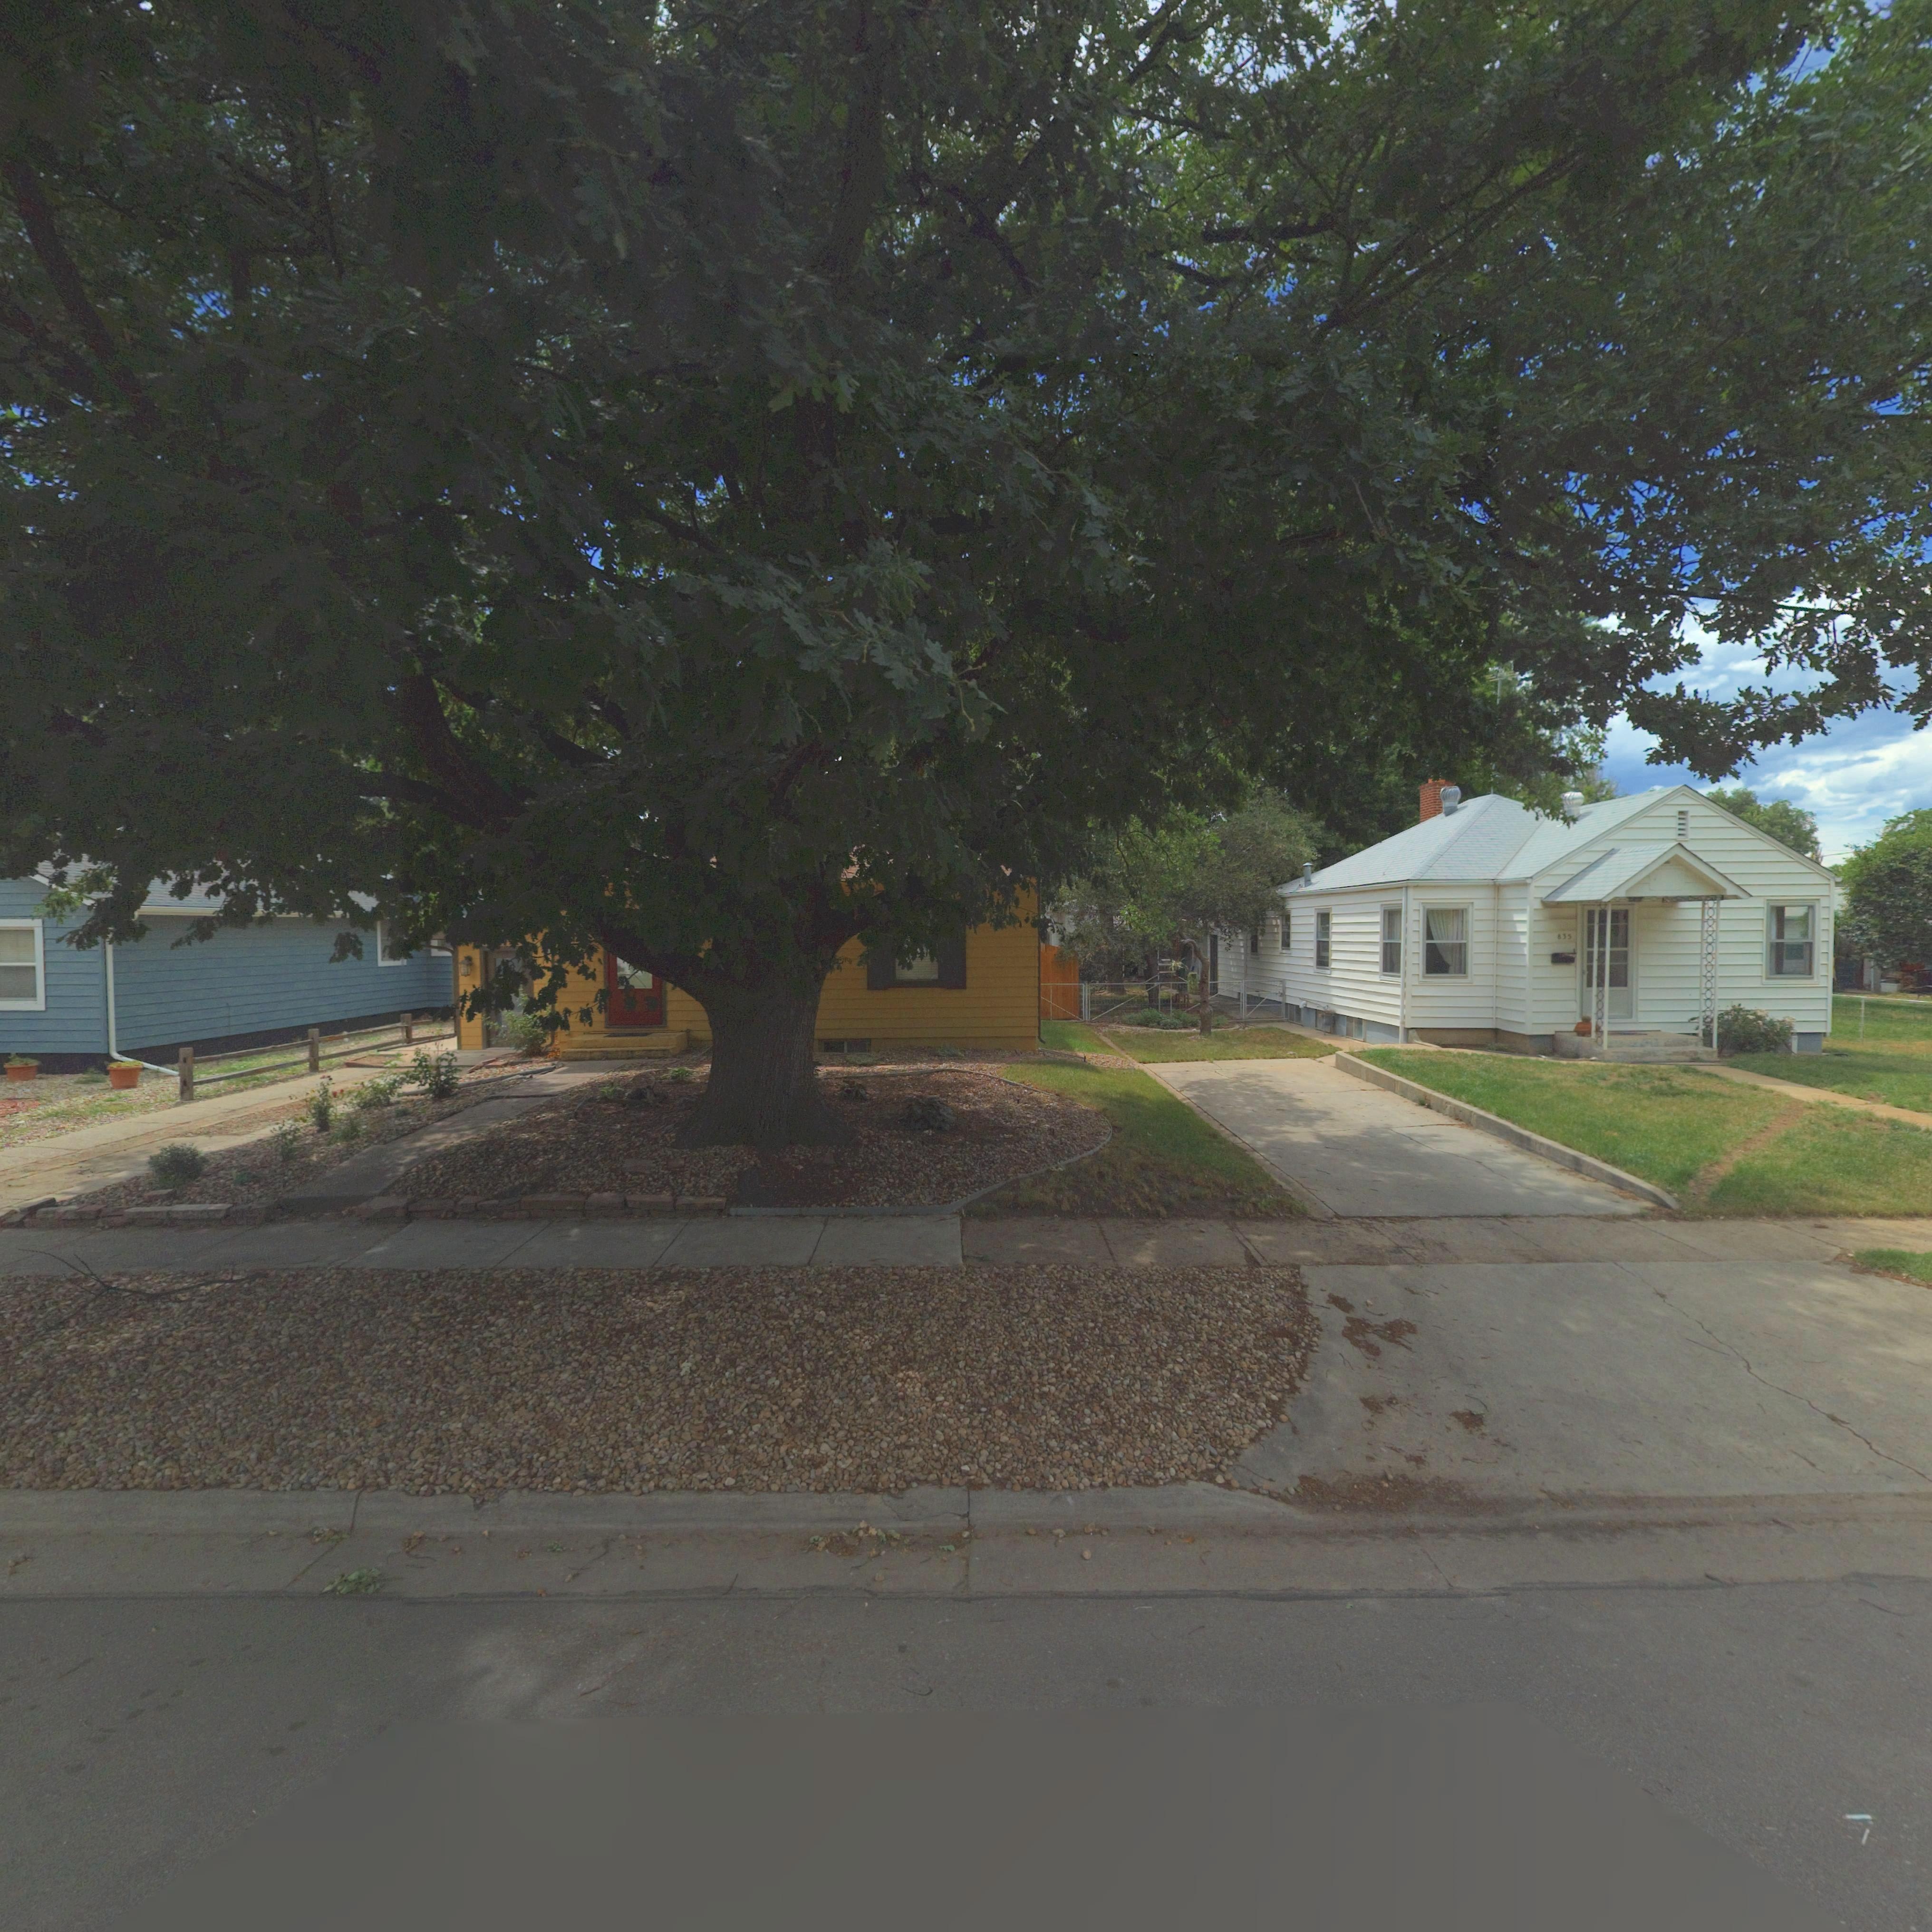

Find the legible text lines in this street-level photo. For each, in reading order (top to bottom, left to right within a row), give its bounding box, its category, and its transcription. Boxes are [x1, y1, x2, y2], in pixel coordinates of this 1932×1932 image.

[1557, 933, 1571, 940] StreetNumber: 835